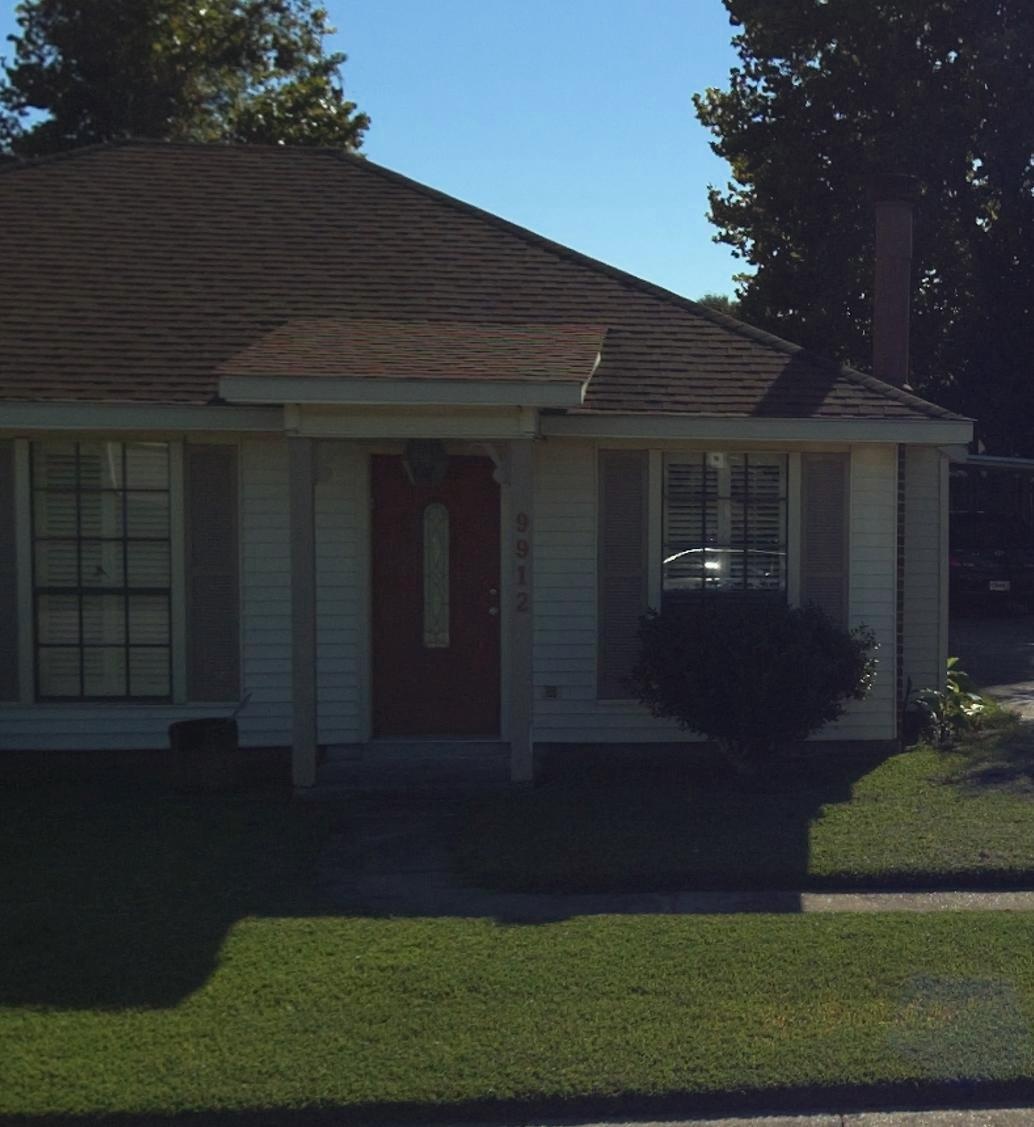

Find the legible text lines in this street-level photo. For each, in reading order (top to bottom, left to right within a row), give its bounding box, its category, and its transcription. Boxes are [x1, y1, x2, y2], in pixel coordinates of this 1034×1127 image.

[514, 512, 529, 614] StreetNumber: 9912